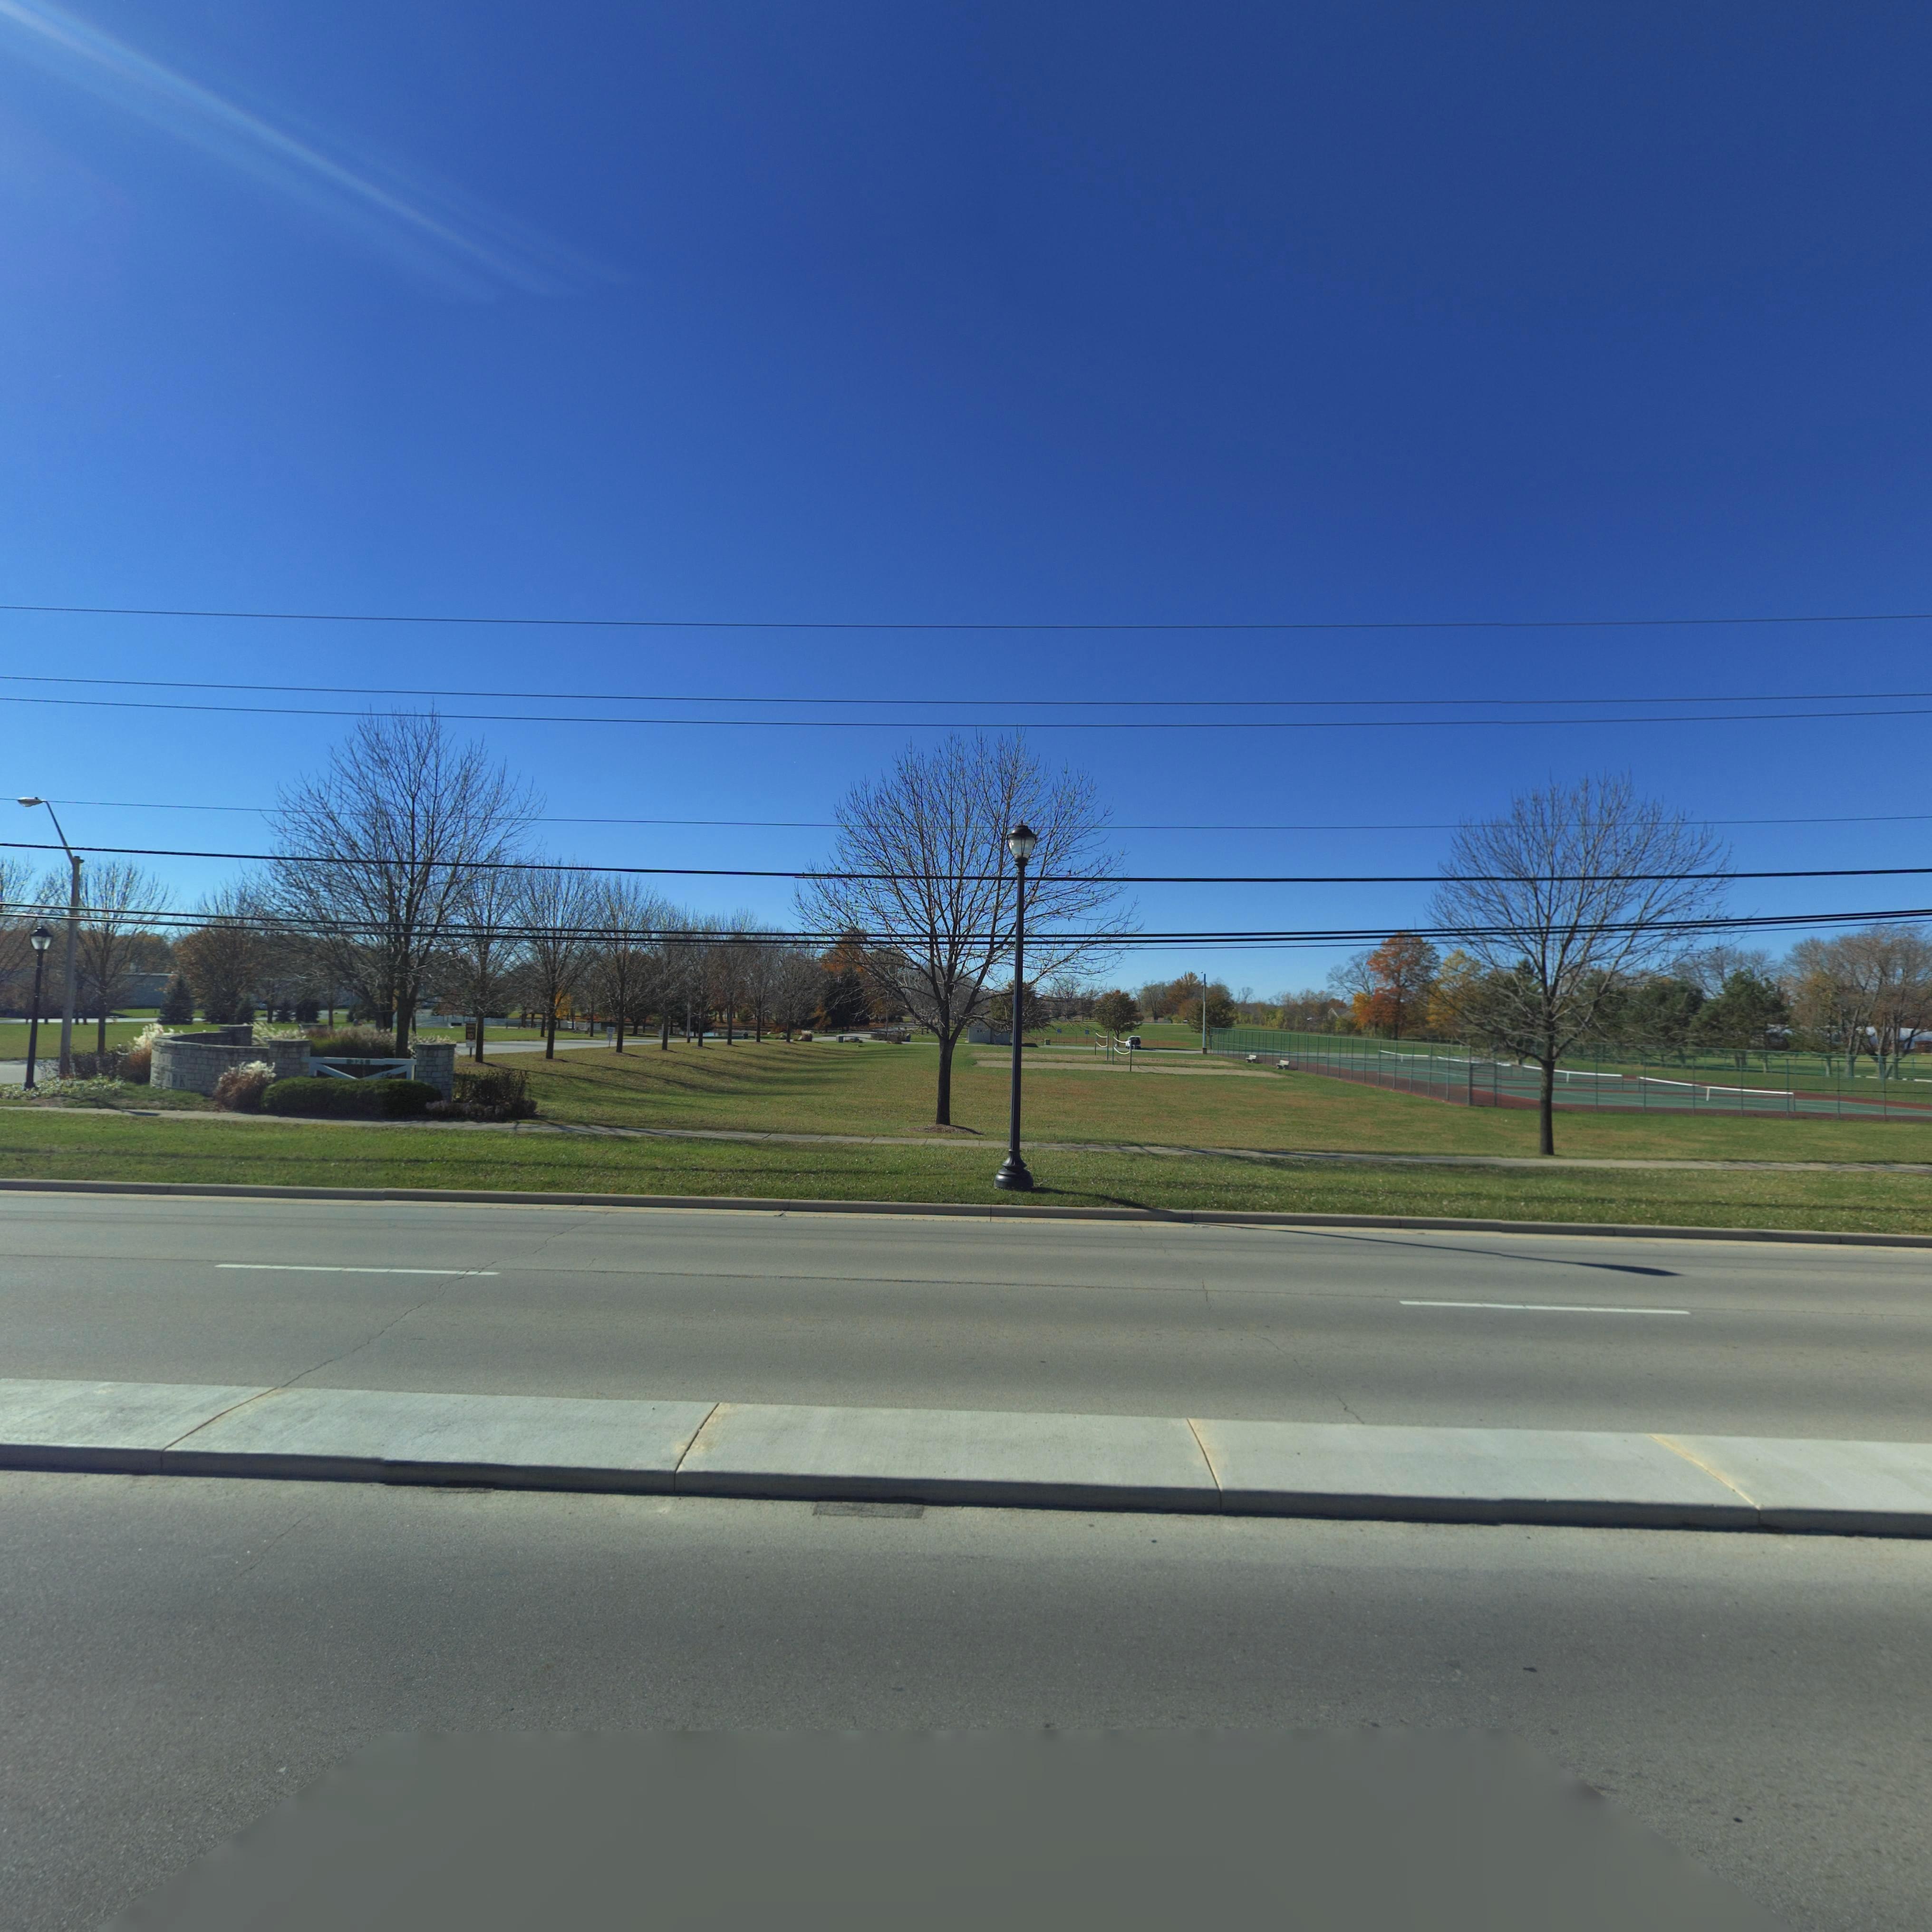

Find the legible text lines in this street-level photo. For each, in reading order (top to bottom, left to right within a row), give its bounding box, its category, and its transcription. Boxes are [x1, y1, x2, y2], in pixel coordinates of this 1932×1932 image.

[350, 1058, 367, 1066] StreetNumber: *21
[164, 1072, 187, 1088] None: ARK